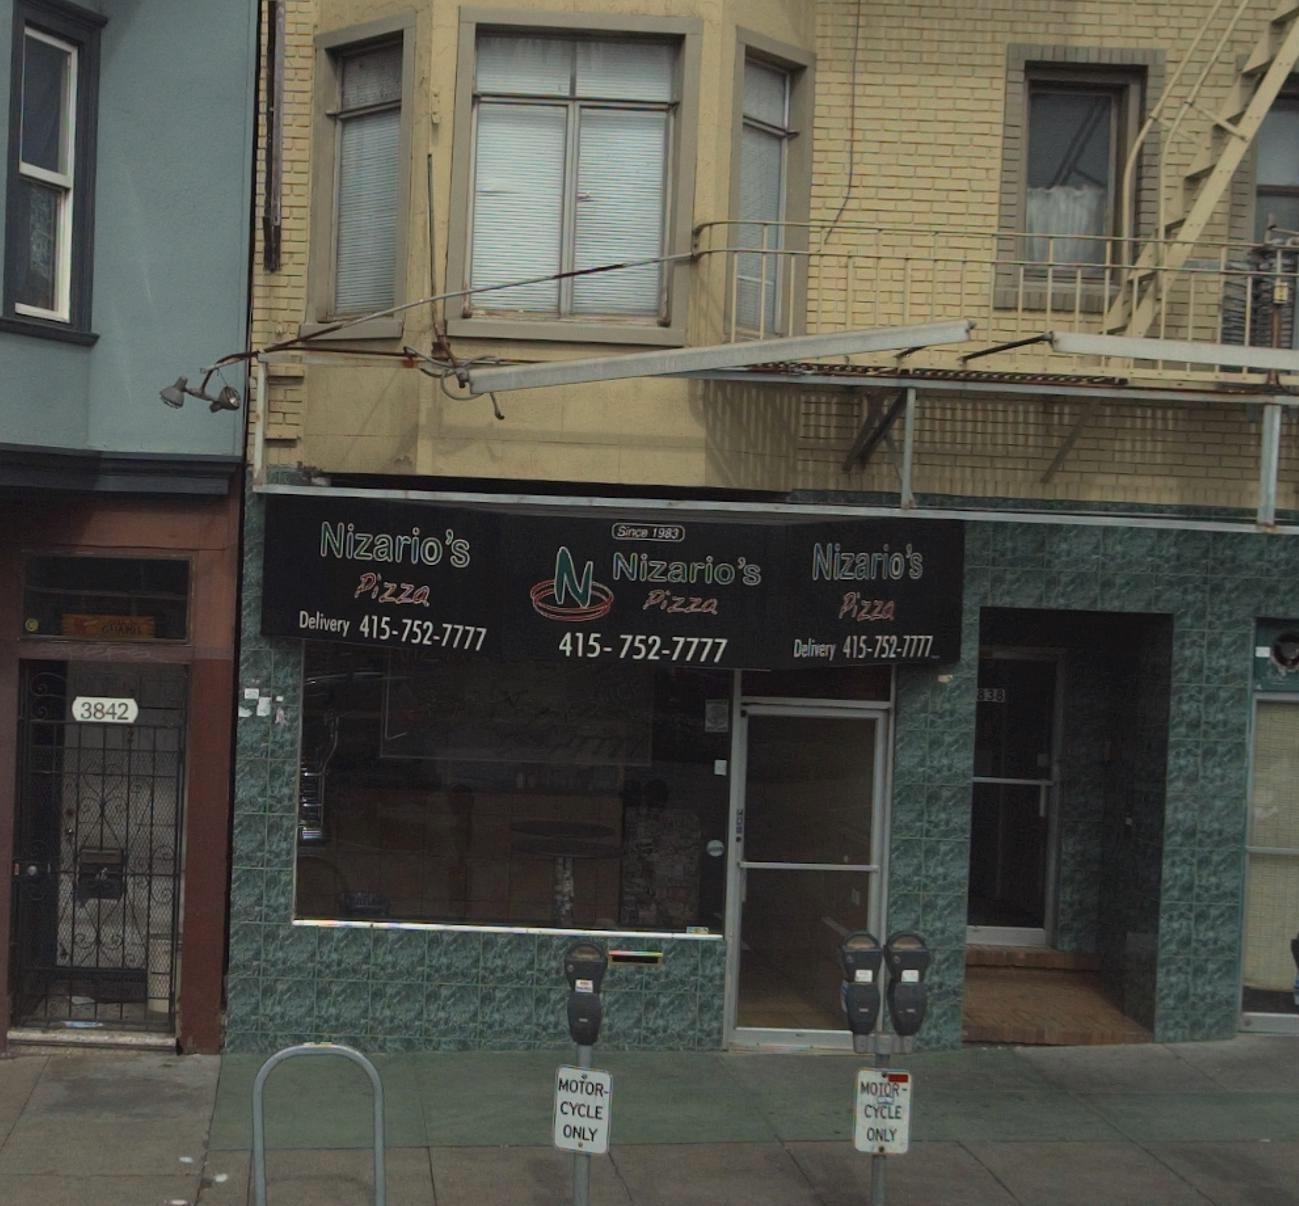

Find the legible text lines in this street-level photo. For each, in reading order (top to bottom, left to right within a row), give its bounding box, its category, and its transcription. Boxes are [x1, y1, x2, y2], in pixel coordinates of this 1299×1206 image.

[319, 519, 471, 572] BusinessName: Nizario's
[614, 524, 681, 540] None: Since 19883
[352, 568, 433, 610] BusinessName: Pizza
[552, 541, 596, 613] None: N
[637, 587, 721, 619] BusinessName: Pizza
[609, 550, 764, 586] BusinessName: Nizario's
[832, 588, 898, 625] BusinessName: Pizza
[808, 540, 927, 584] BusinessName: Nizario's
[297, 607, 491, 658] None: Delivery 415-752-7777
[553, 629, 733, 667] None: 415-752-7777
[790, 631, 937, 665] None: Delivery 415-752-7777
[974, 686, 1007, 703] StreetNumber: 838
[79, 700, 130, 723] StreetNumber: 3842
[556, 1073, 606, 1103] None: MOTOR
[858, 1078, 902, 1100] None: MOTOR
[558, 1096, 607, 1126] None: CYCLE
[861, 1102, 905, 1123] None: CYCLE
[560, 1121, 601, 1145] None: ONLY
[864, 1125, 902, 1147] None: ONLY